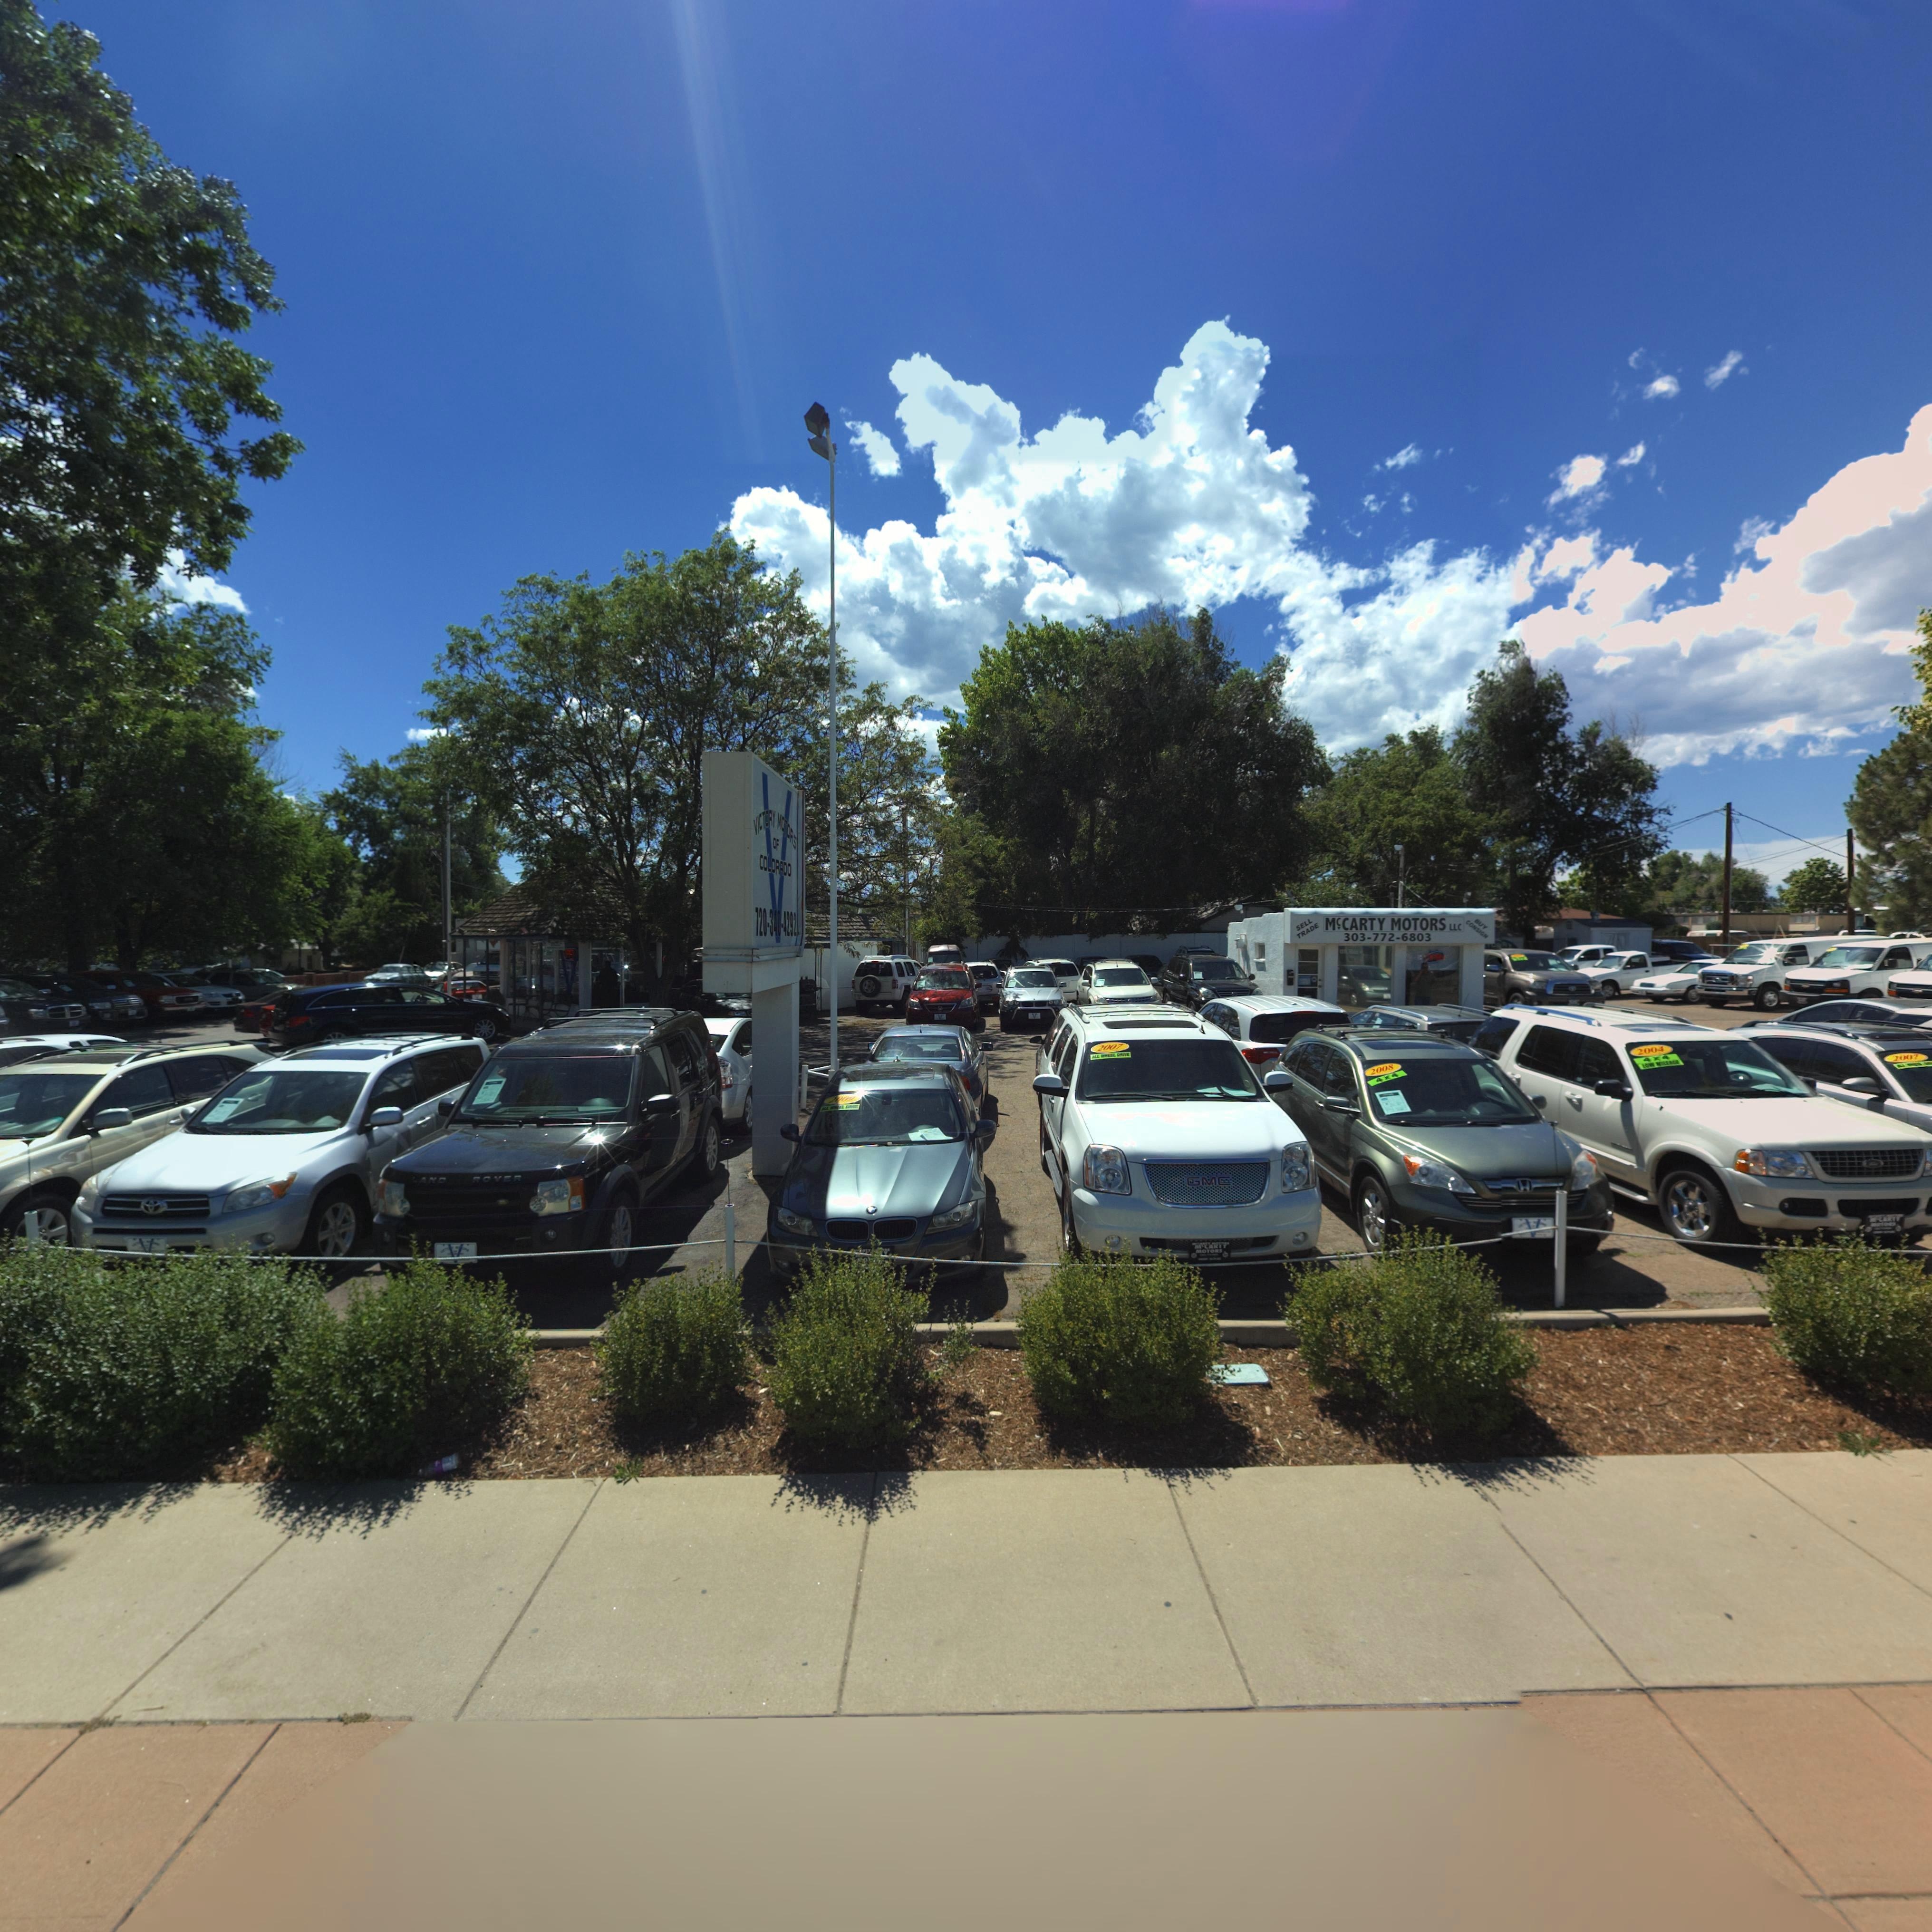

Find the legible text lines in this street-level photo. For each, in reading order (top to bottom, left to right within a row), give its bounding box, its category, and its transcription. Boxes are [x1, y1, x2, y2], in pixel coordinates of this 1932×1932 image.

[753, 810, 797, 850] BusinessName: VICTORY MOTORS
[773, 837, 780, 850] BusinessName: OF
[759, 854, 792, 878] BusinessName: COLORADO
[1325, 918, 1447, 930] BusinessName: McCARTY MOTORS
[1449, 923, 1461, 930] BusinessName: LLC